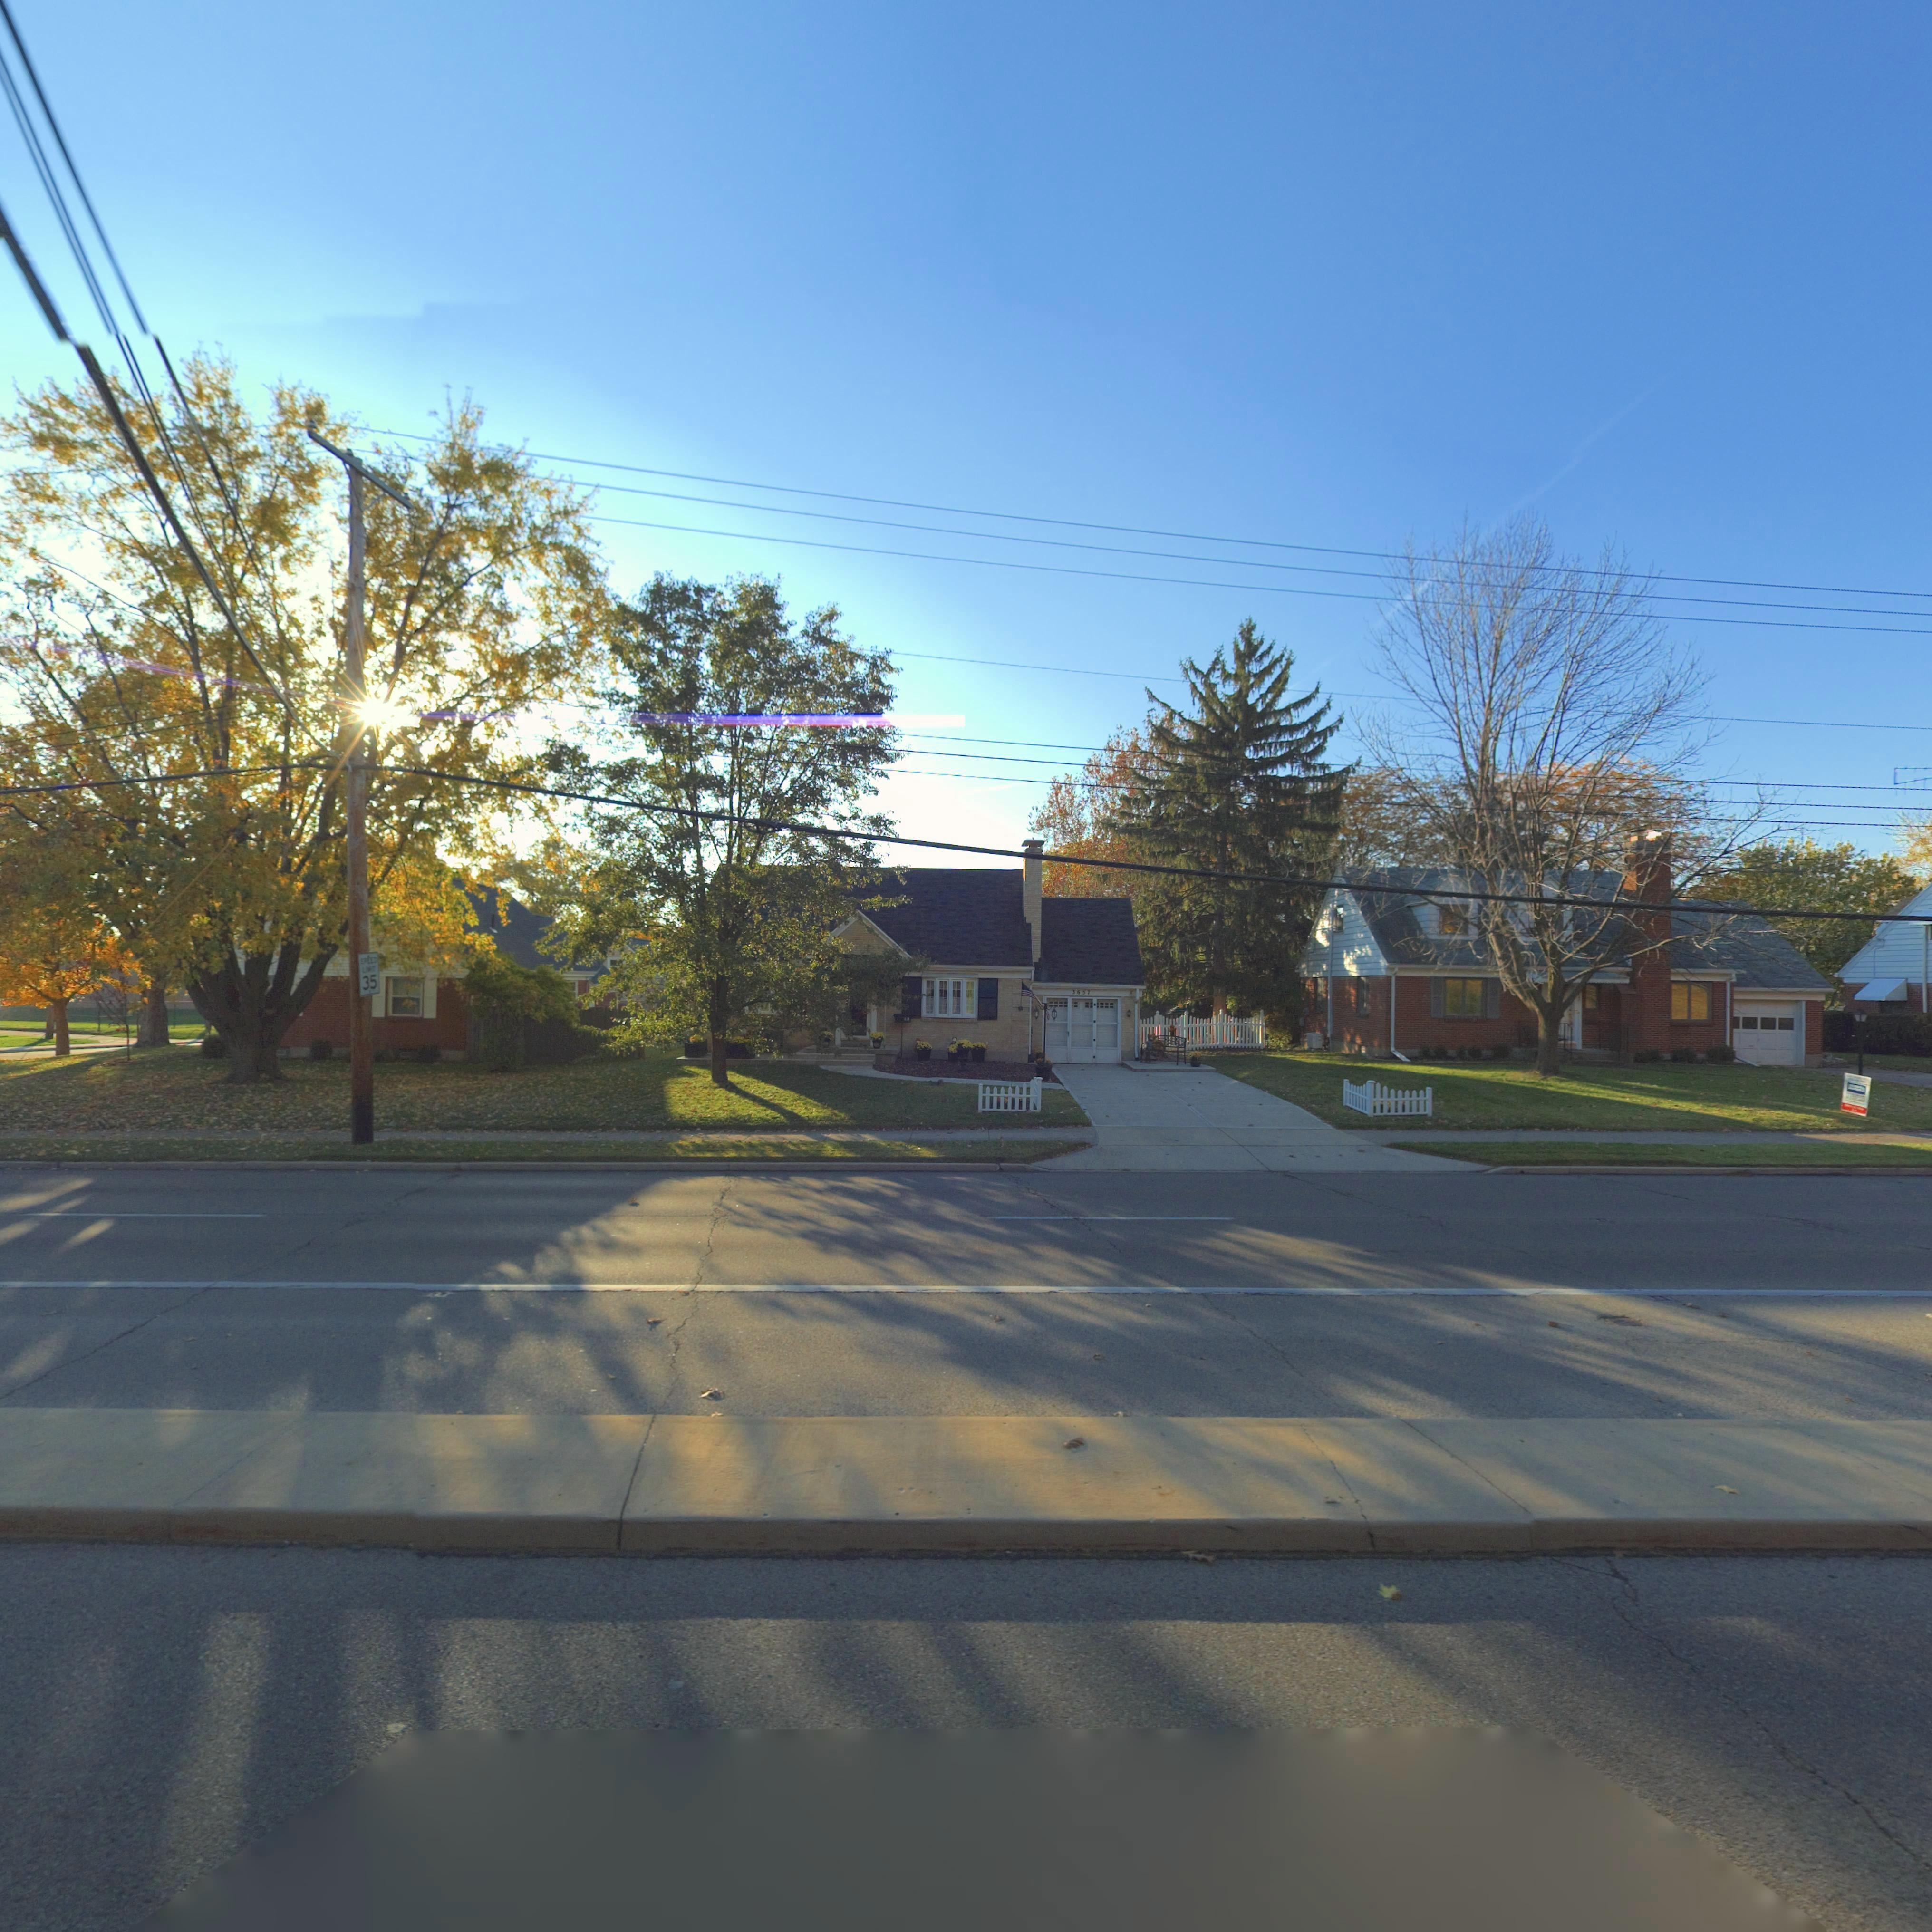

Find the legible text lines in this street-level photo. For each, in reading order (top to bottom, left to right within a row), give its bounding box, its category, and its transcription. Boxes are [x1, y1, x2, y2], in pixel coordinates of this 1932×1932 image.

[1071, 989, 1091, 995] StreetNumber: 3657